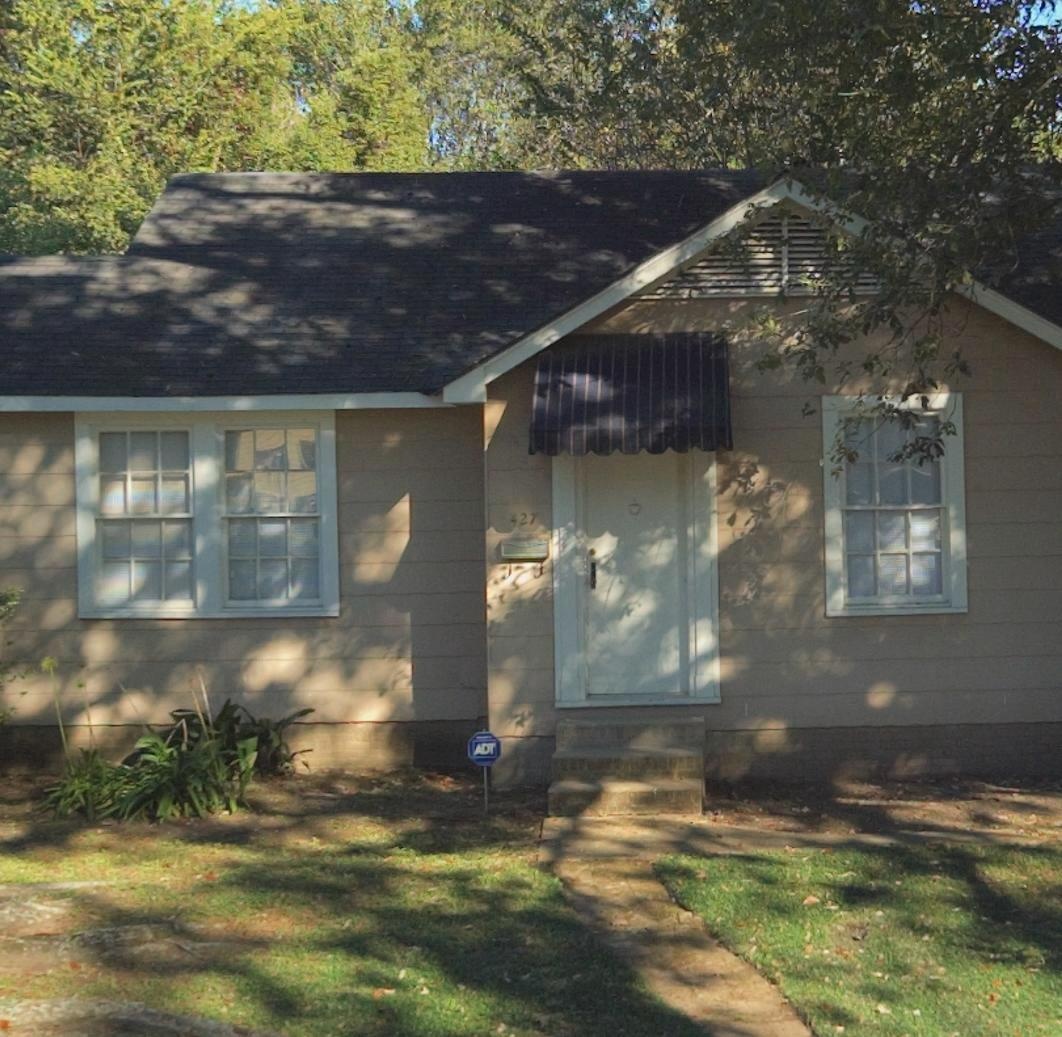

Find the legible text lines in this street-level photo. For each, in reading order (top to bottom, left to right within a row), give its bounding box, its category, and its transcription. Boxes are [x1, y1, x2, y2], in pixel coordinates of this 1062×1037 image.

[508, 510, 539, 528] StreetNumber: 427
[472, 741, 496, 756] BusinessName: ADT